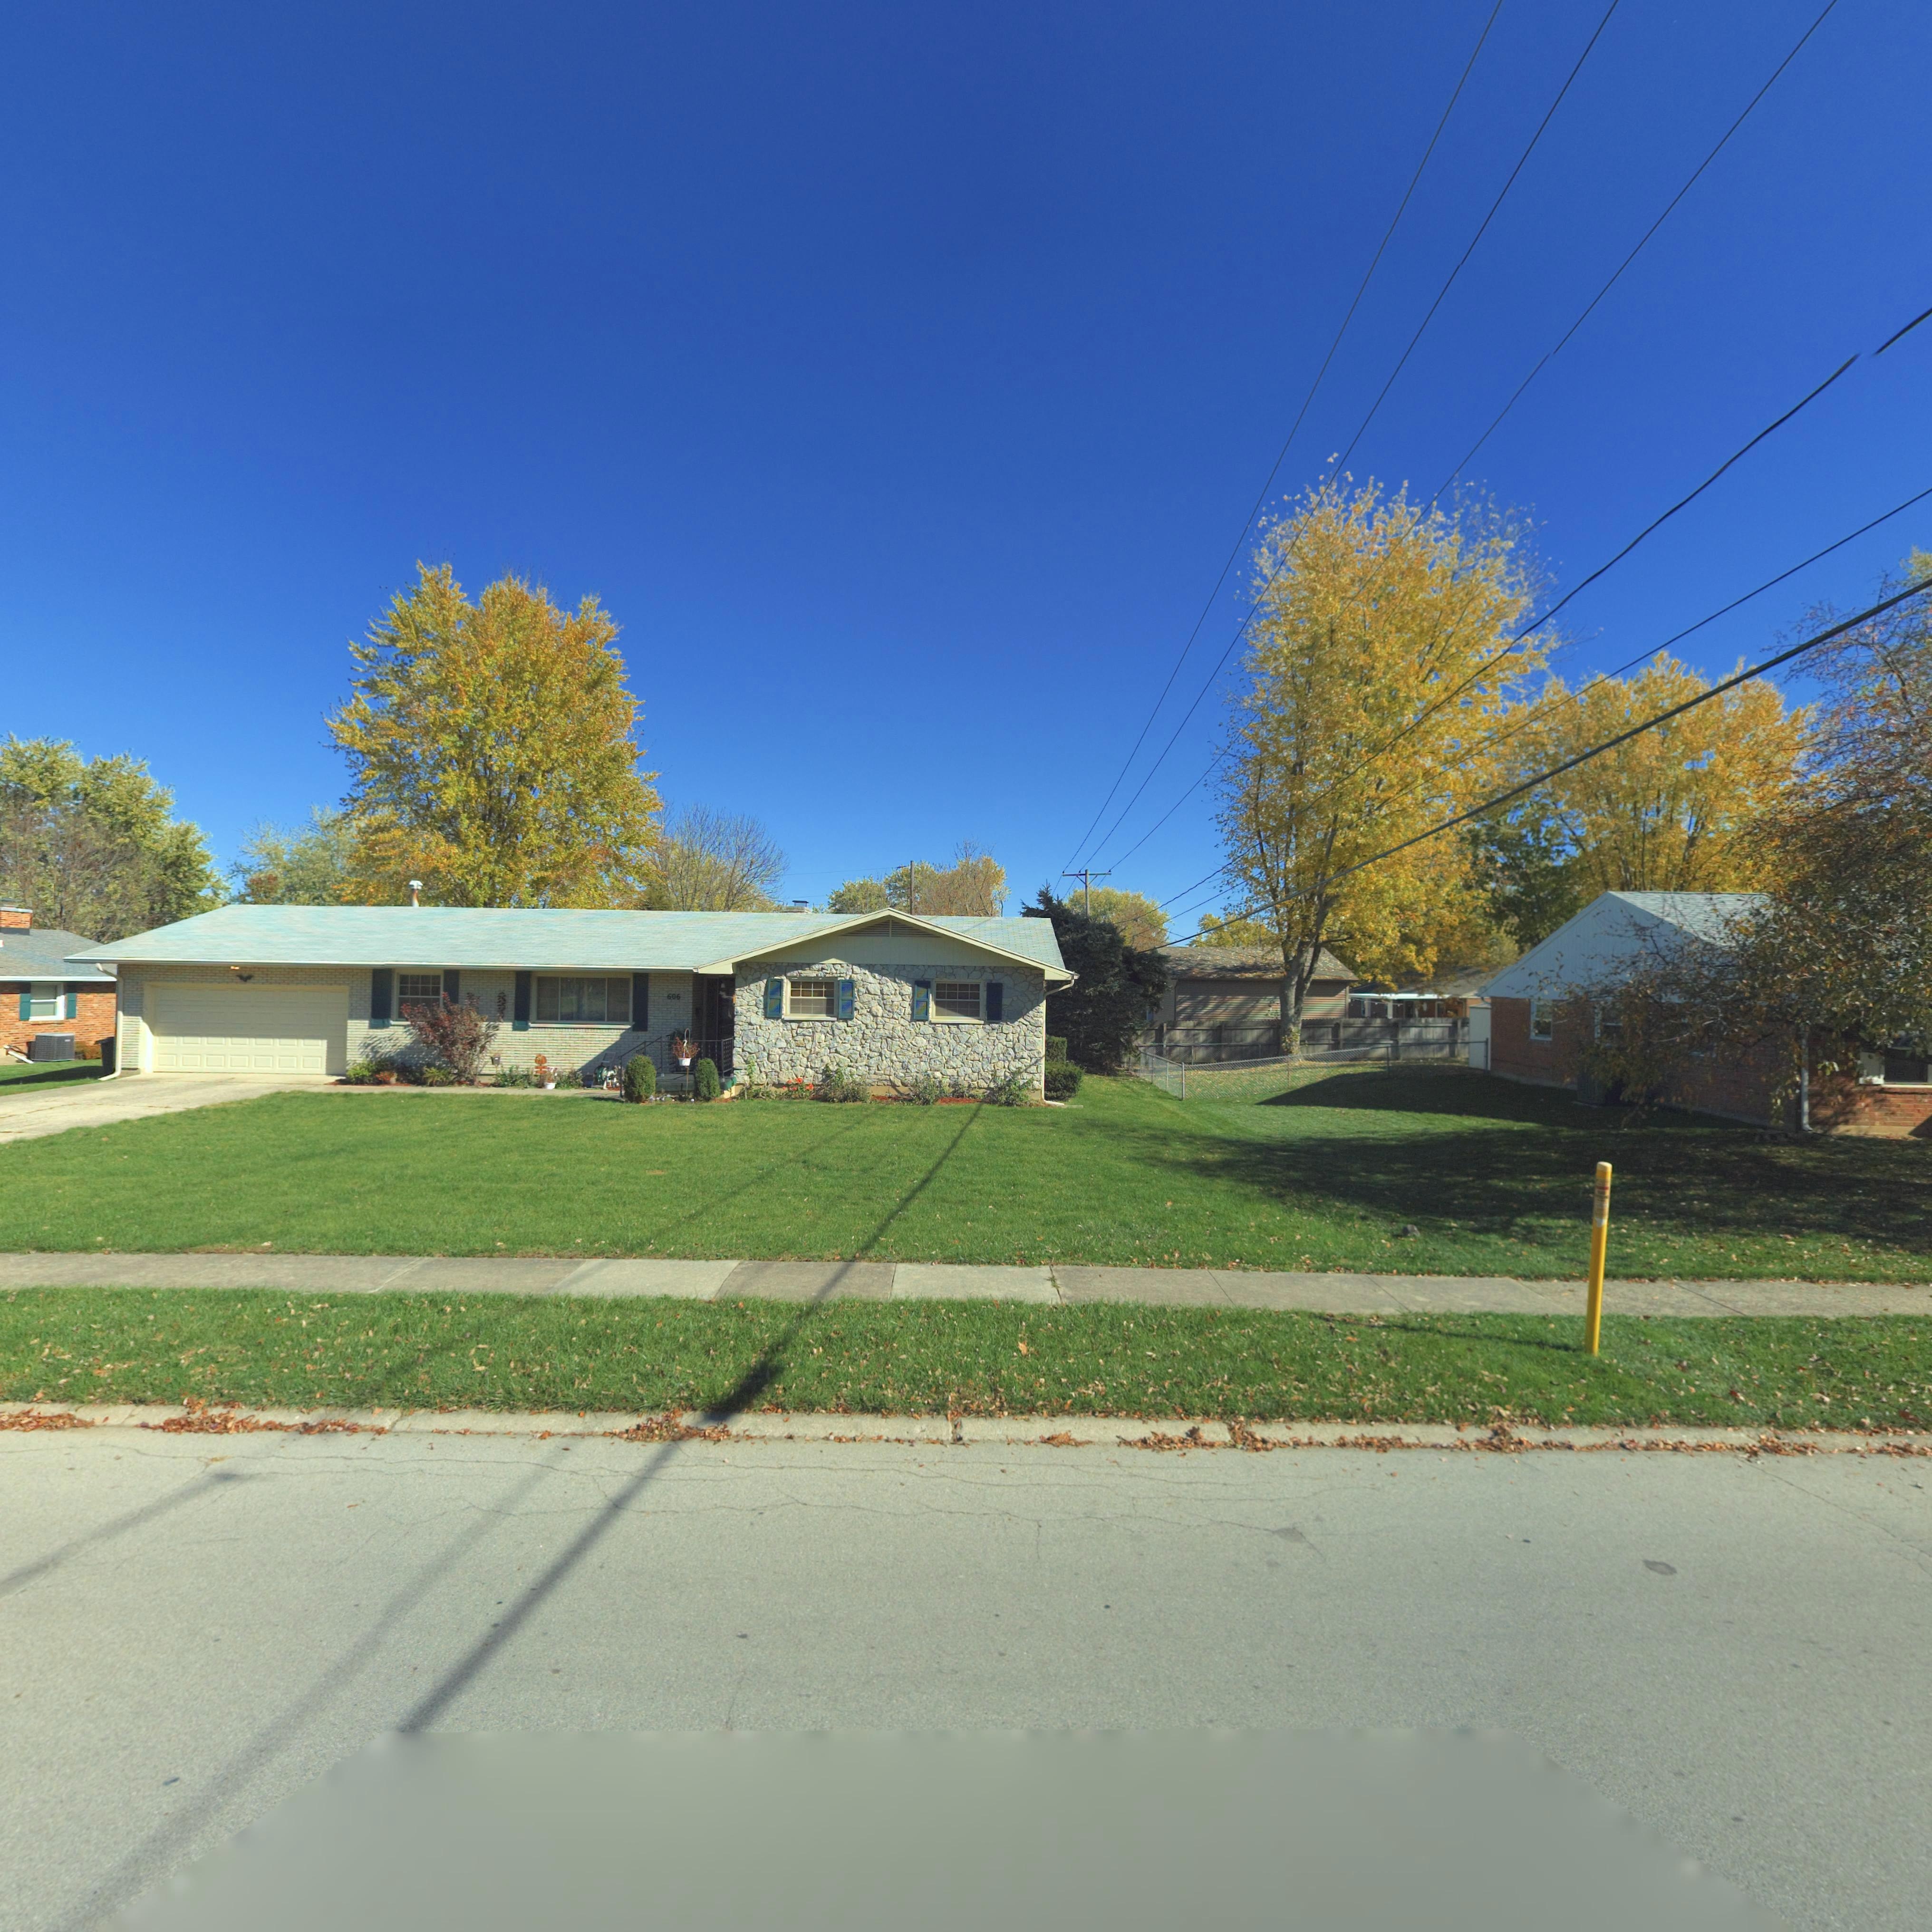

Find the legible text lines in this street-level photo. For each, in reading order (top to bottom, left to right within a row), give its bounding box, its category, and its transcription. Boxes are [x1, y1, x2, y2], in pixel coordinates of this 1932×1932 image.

[667, 993, 681, 1000] StreetNumber: 606